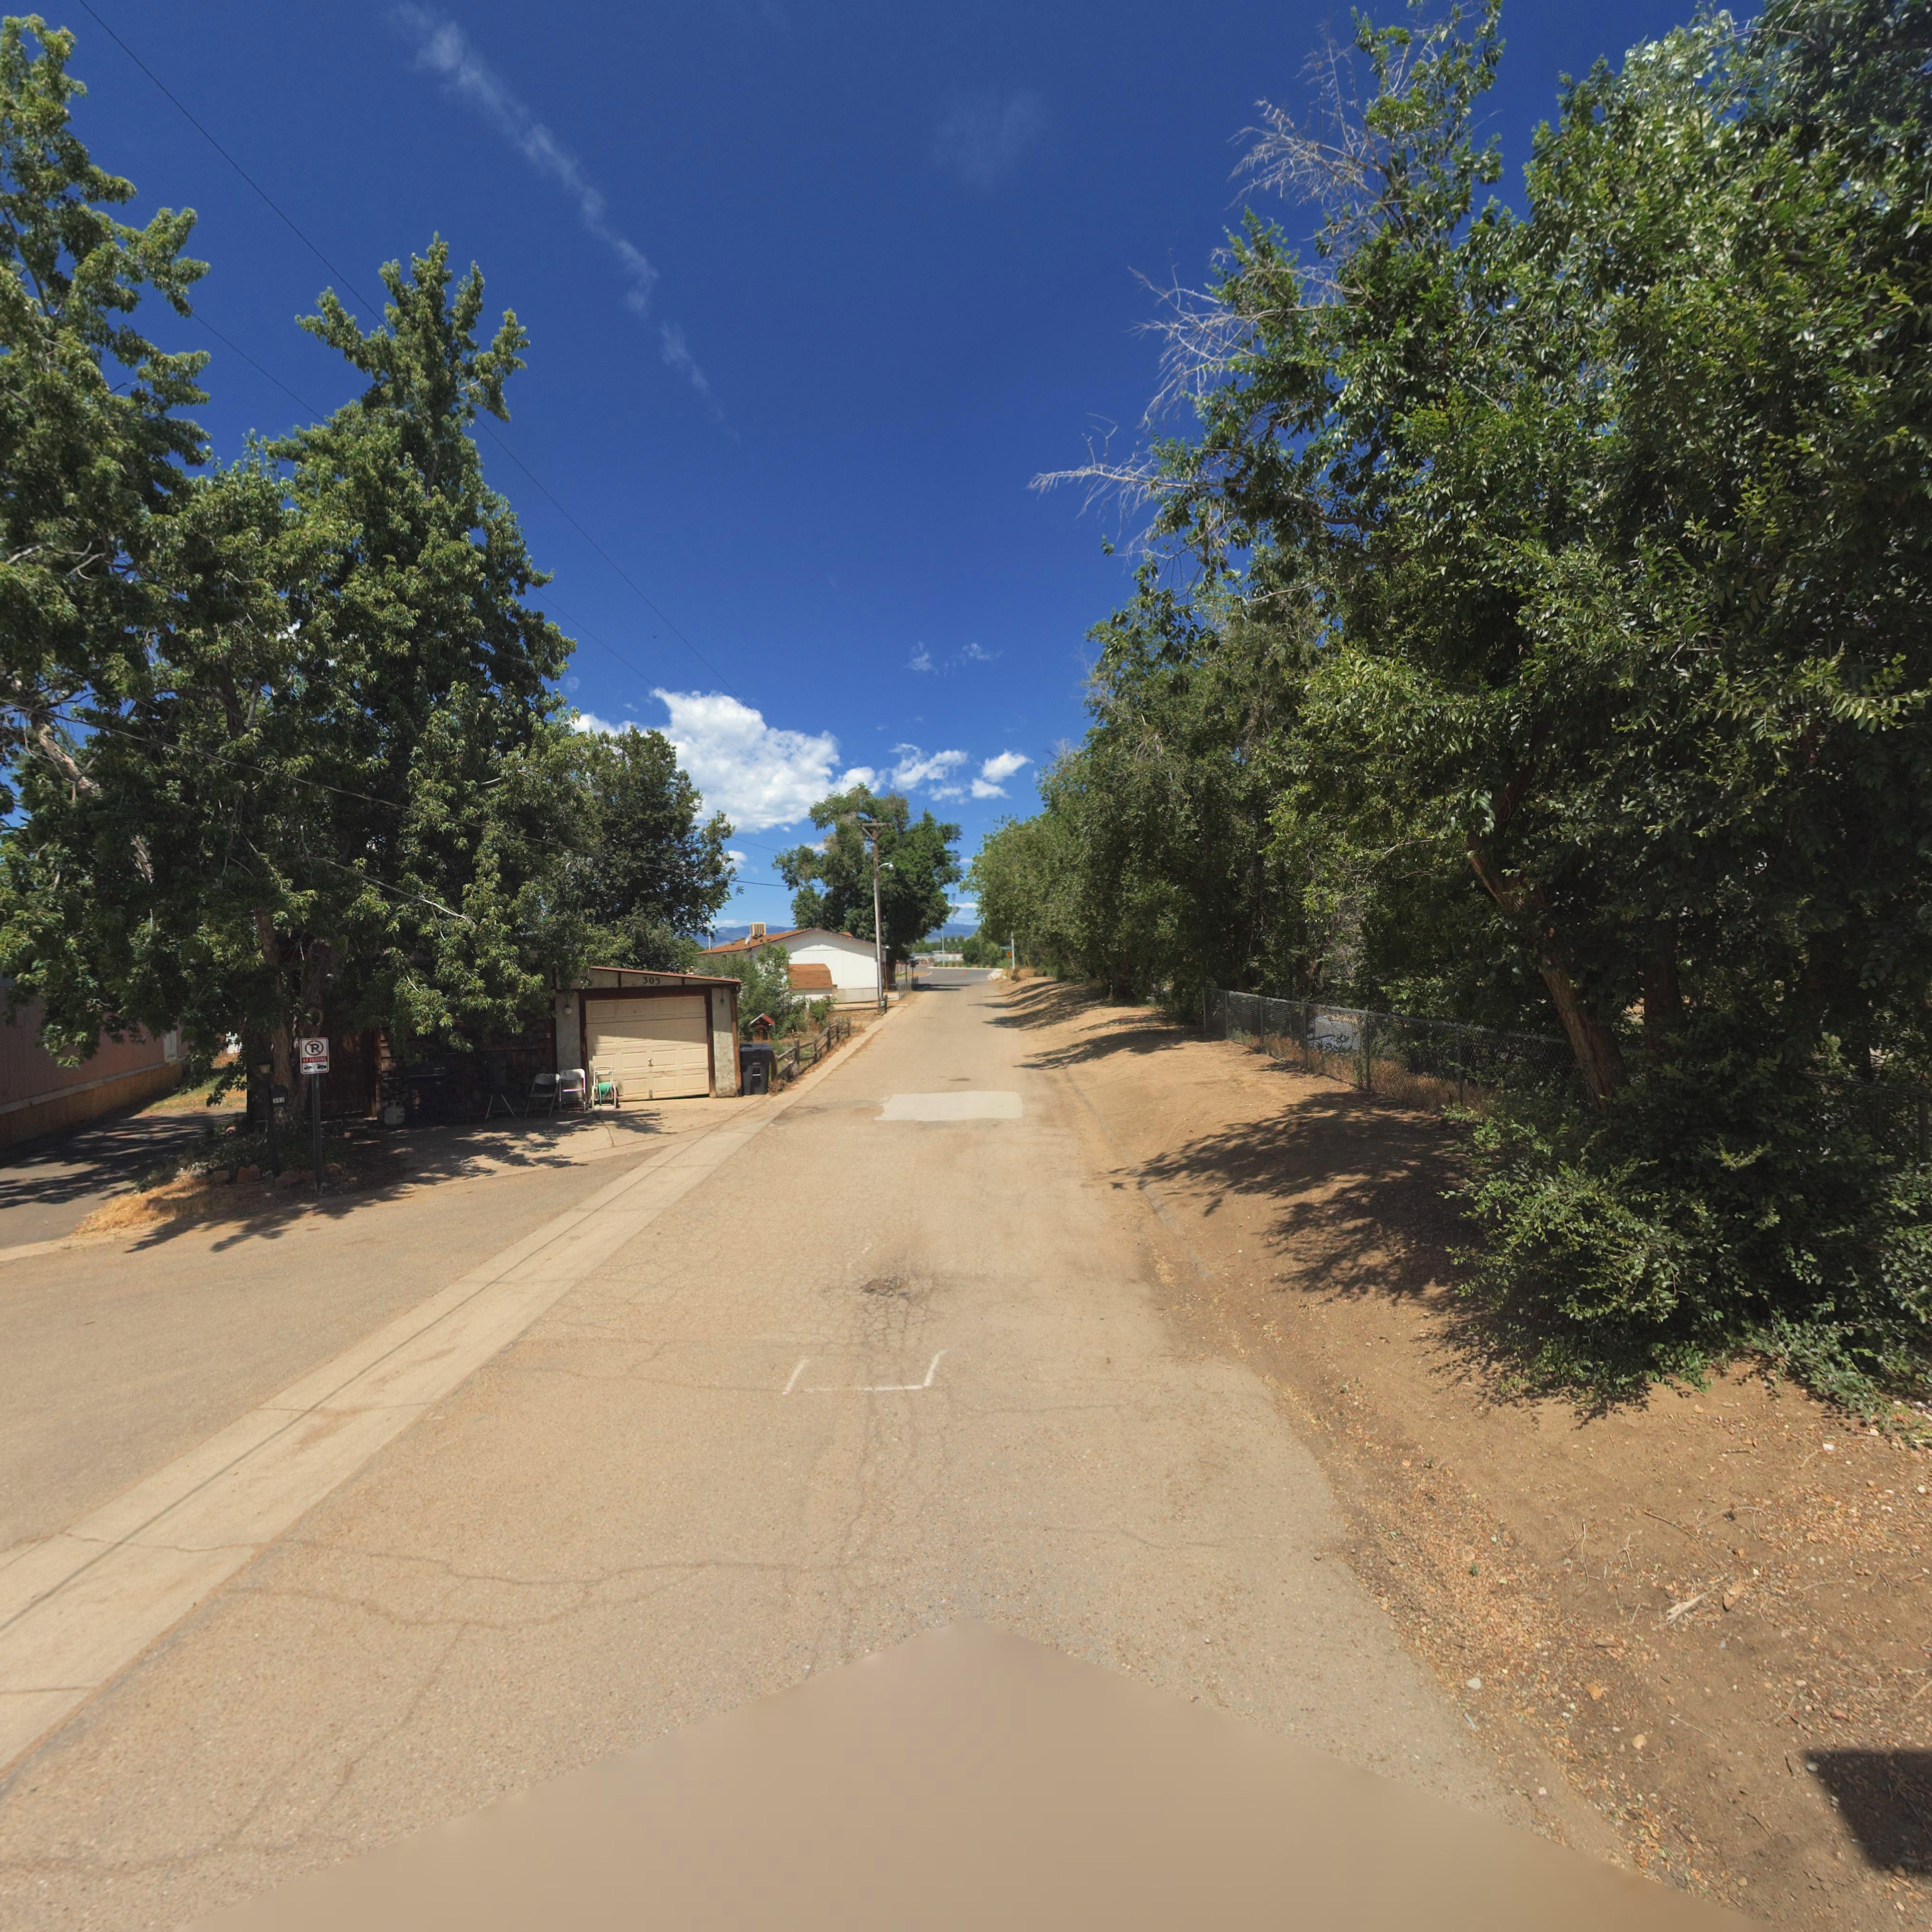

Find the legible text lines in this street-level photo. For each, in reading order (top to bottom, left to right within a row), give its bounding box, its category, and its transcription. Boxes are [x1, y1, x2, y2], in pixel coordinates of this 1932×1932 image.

[642, 976, 661, 985] StreetNumber: 303
[273, 1097, 284, 1103] StreetNumber: 307